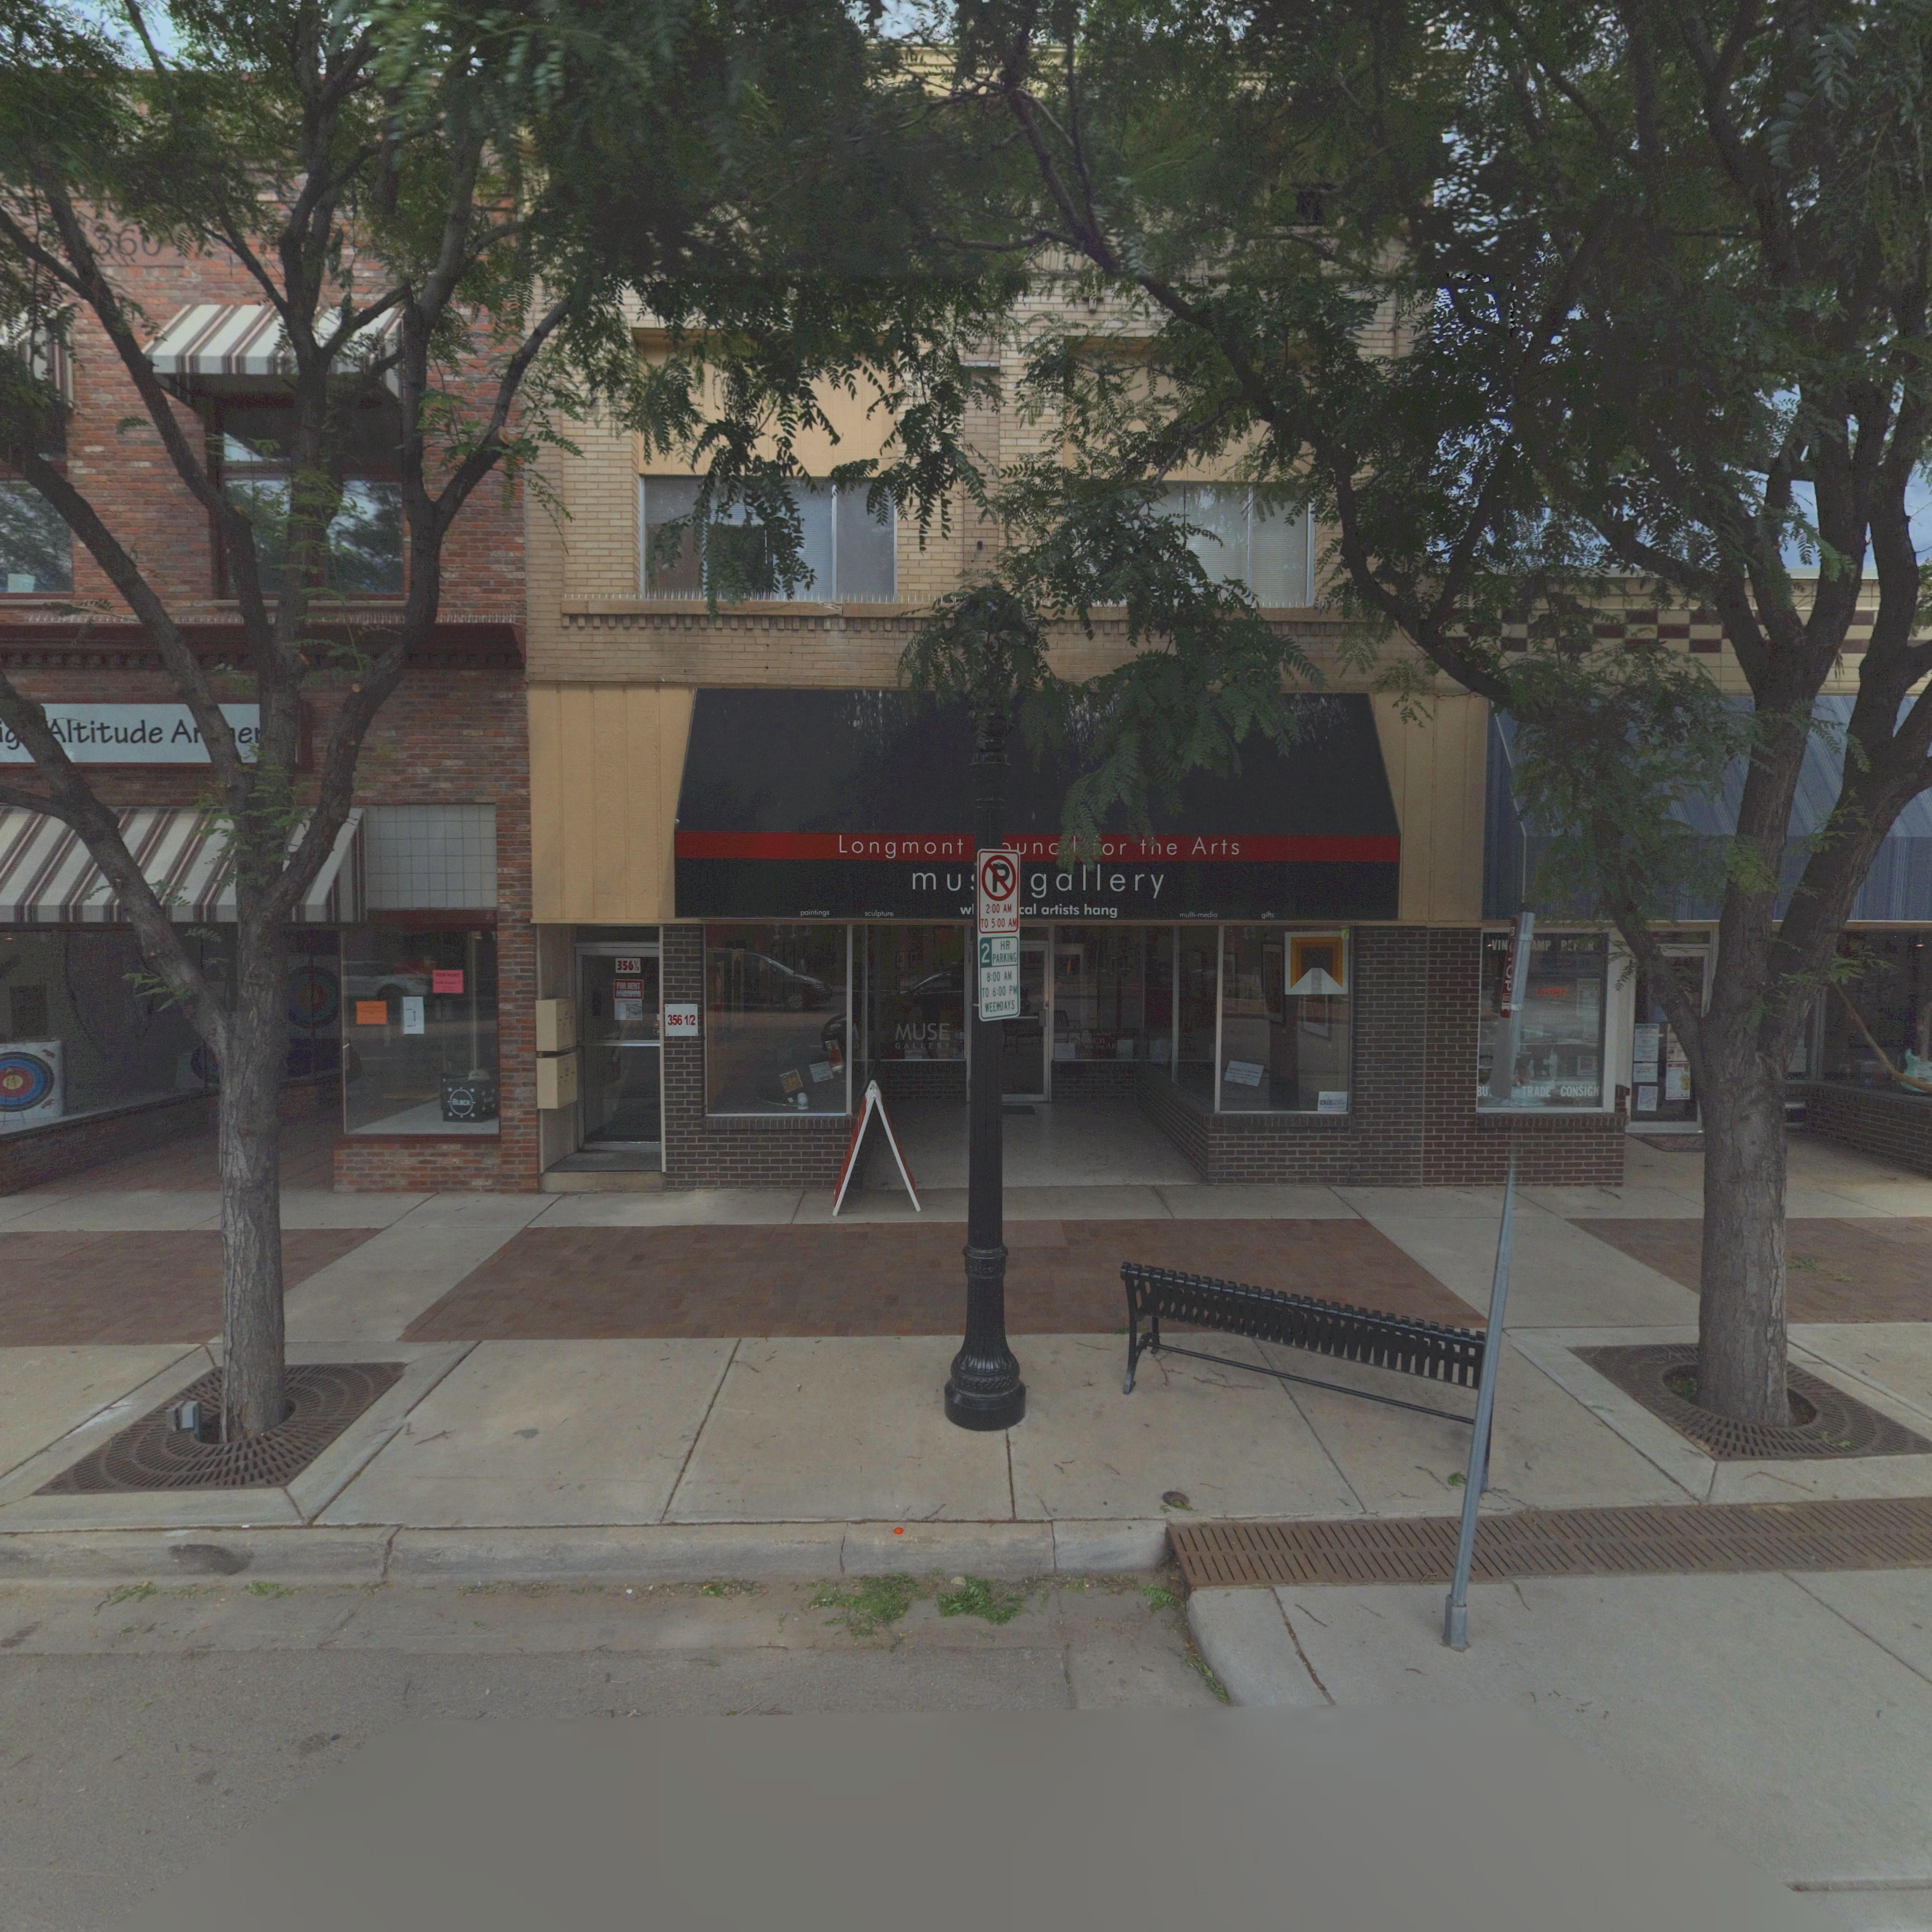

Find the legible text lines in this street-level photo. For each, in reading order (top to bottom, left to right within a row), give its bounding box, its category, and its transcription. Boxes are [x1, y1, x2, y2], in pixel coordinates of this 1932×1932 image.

[88, 227, 164, 258] StreetNumber: 360
[6, 716, 278, 752] BusinessName: ***g Altitude A**e*
[910, 862, 1166, 900] BusinessName: mus* gallery
[616, 959, 639, 971] StreetNumber: 356 1/2
[667, 1014, 696, 1025] StreetNumber: 356 1/2
[894, 1022, 950, 1041] BusinessName: MUSE
[895, 1042, 950, 1049] BusinessName: GALLERY